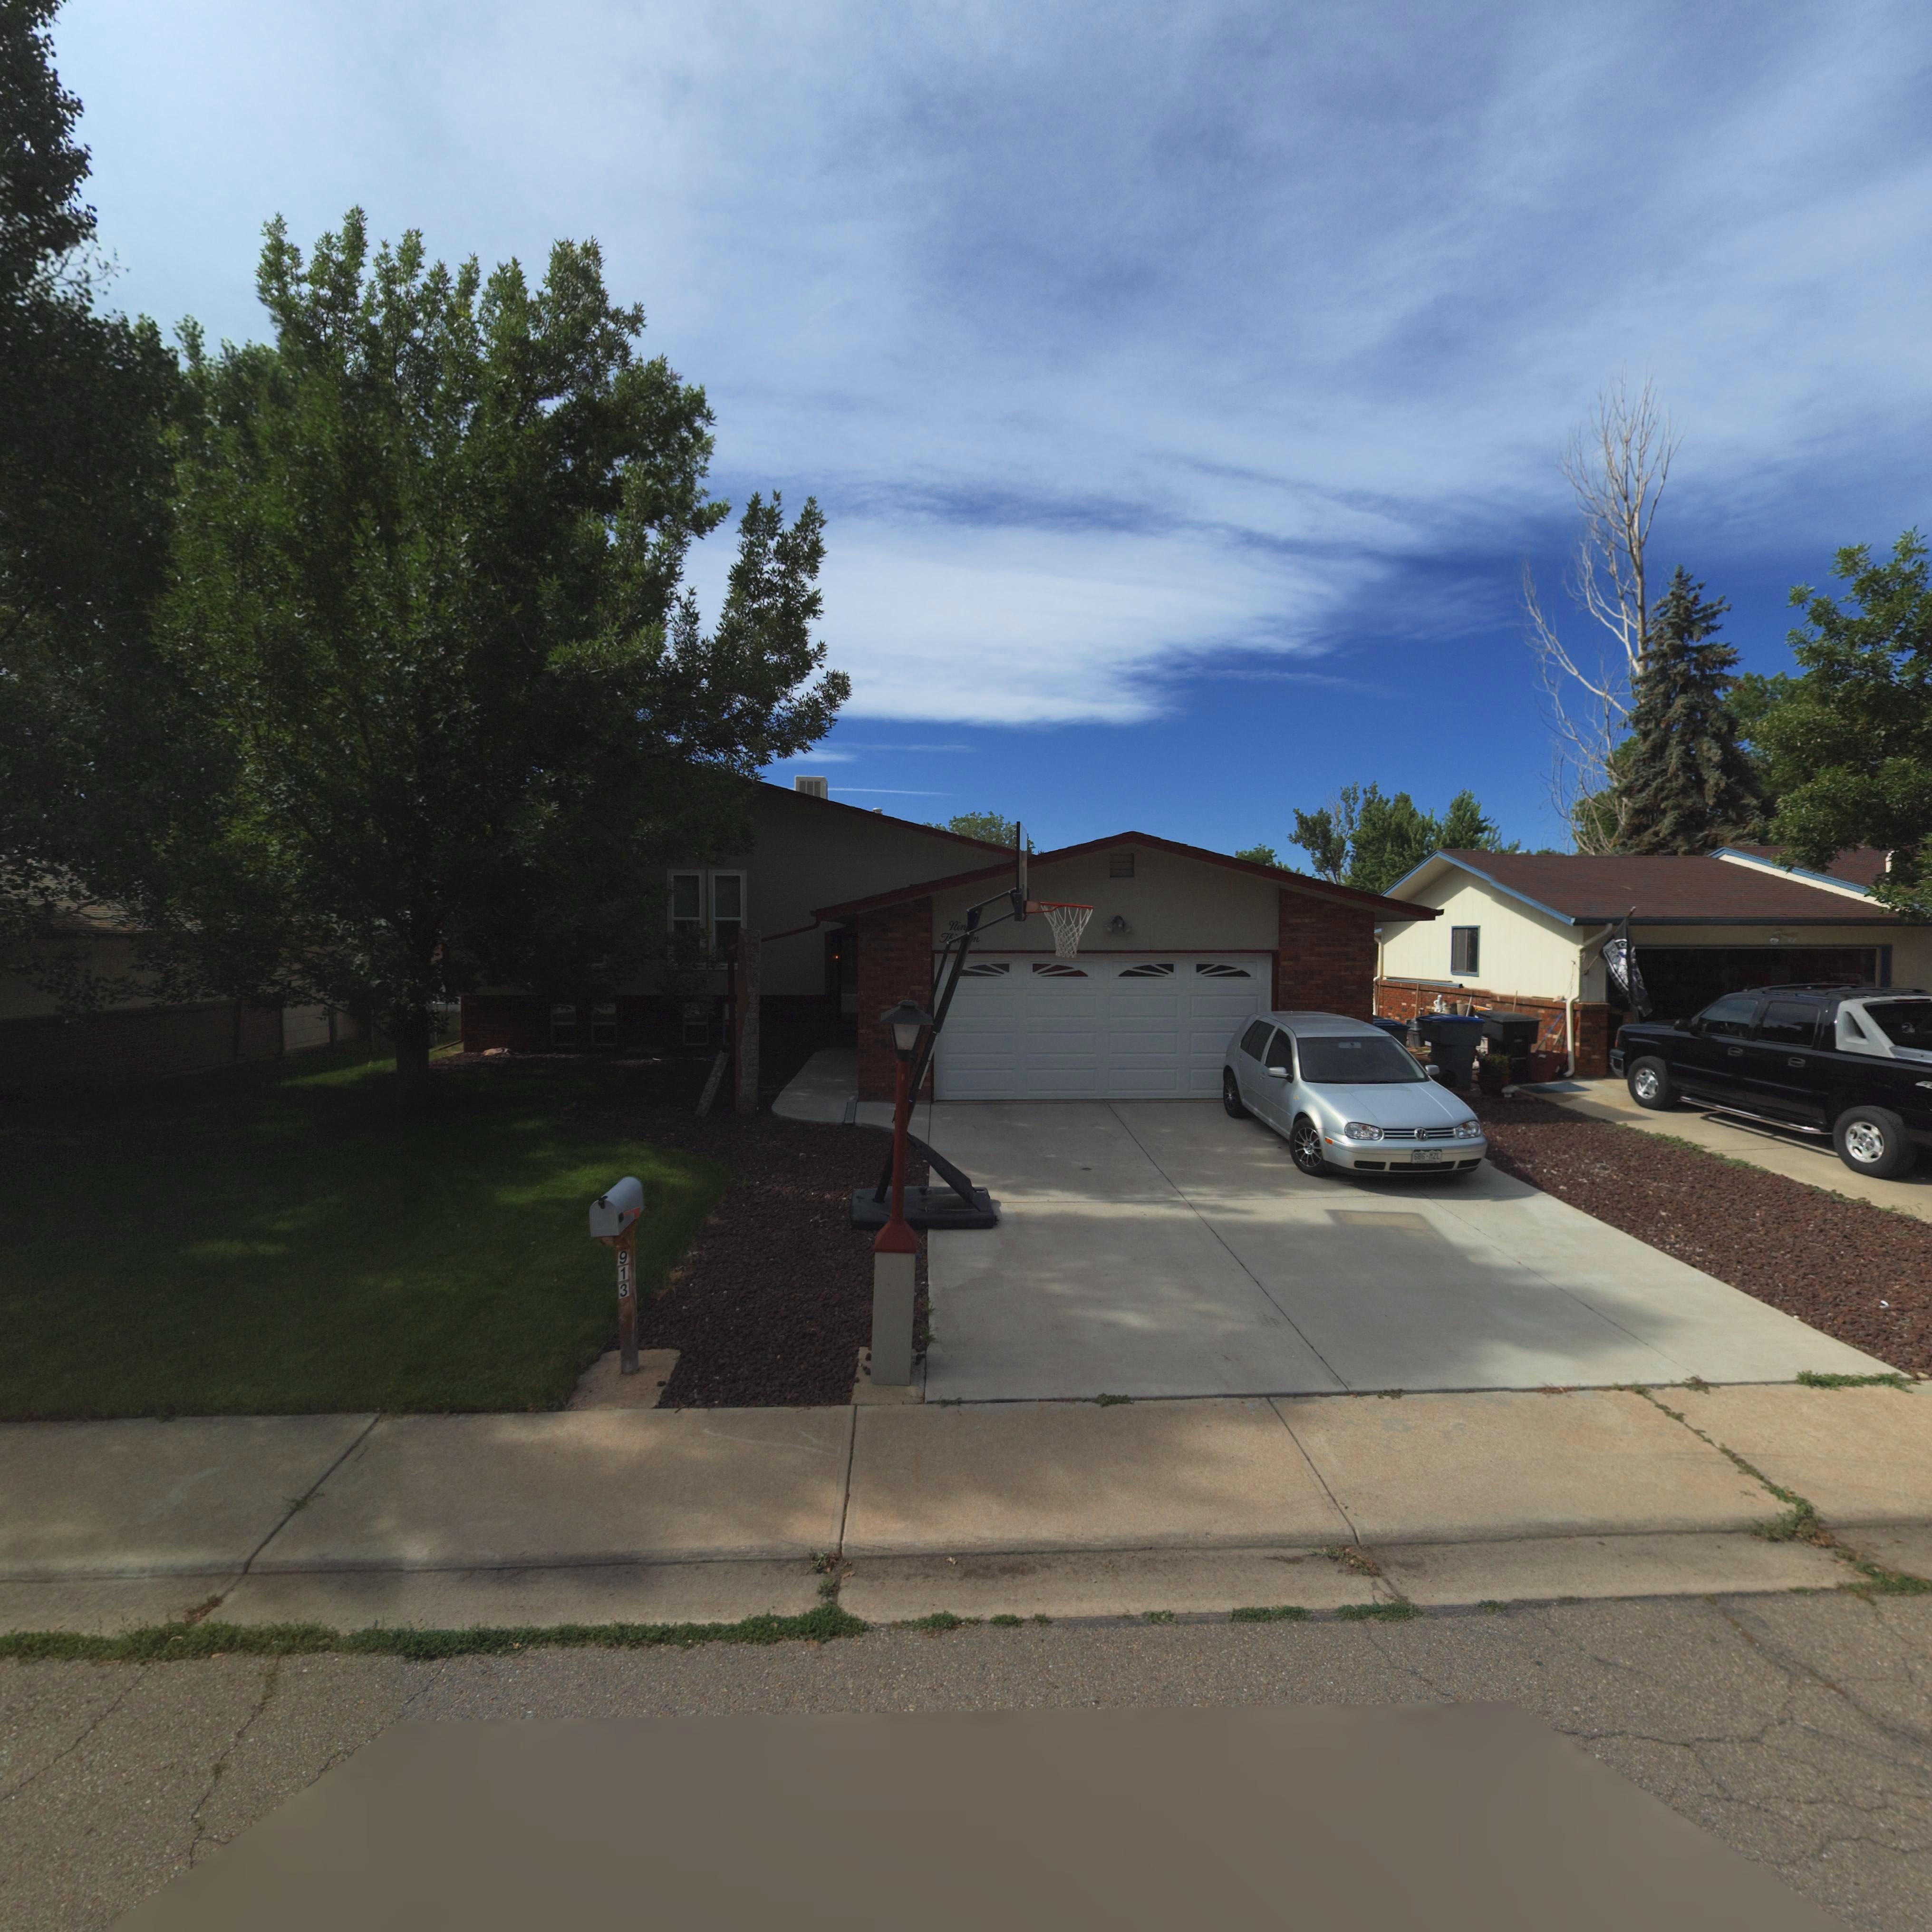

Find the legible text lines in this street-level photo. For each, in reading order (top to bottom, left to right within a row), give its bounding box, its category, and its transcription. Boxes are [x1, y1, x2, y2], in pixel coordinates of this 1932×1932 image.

[948, 920, 966, 931] StreetNumber: Nin
[938, 932, 980, 943] StreetNumber: T*****n
[618, 1249, 628, 1298] StreetNumber: 913